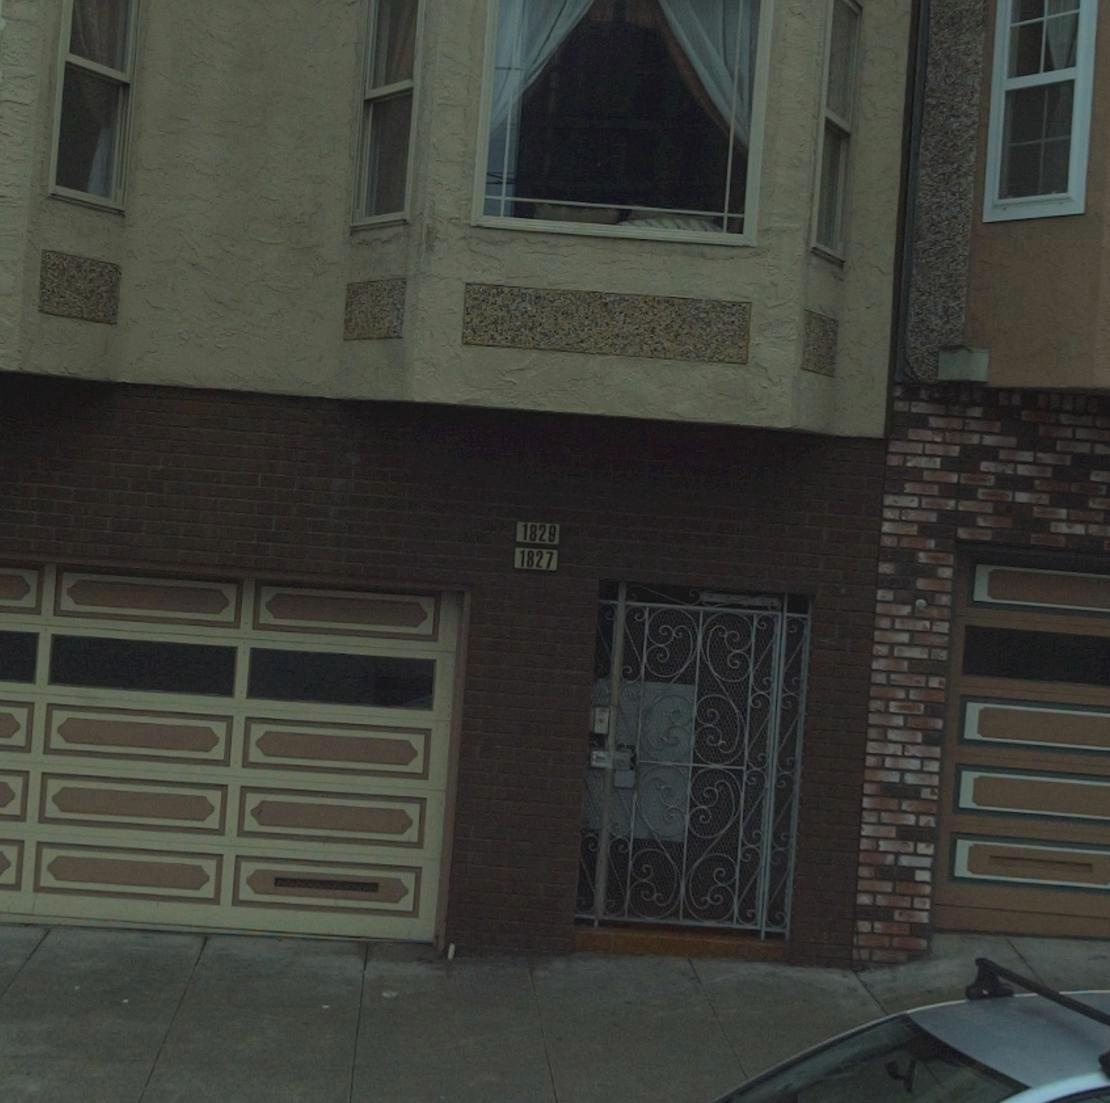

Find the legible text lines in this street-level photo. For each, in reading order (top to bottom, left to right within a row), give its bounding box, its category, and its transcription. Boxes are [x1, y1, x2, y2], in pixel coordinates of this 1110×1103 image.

[521, 521, 559, 544] StreetNumber: 1829
[519, 548, 555, 571] StreetNumber: 1827